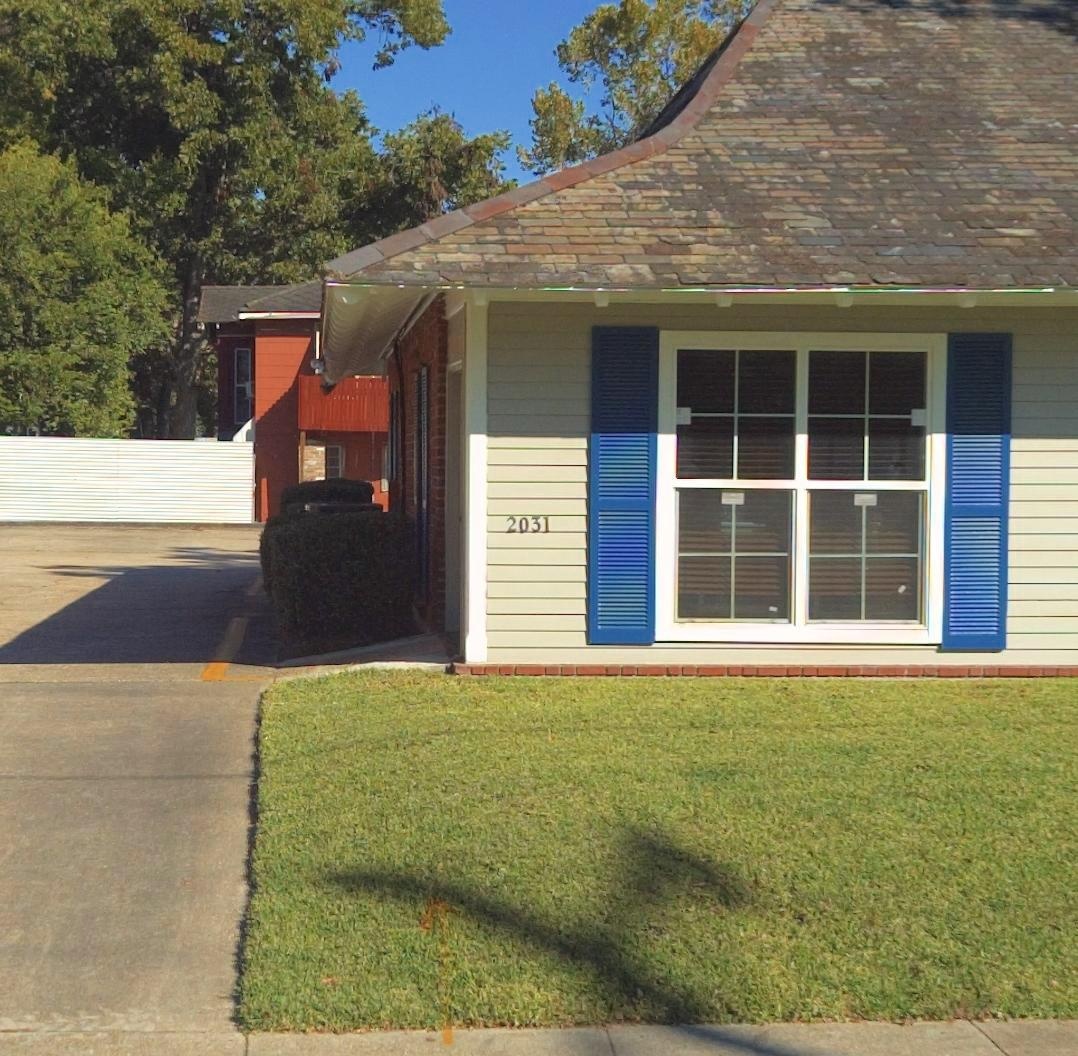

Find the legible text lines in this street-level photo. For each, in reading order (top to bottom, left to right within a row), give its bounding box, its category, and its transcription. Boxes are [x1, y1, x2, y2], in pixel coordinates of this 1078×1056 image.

[503, 513, 552, 536] StreetNumber: 2031